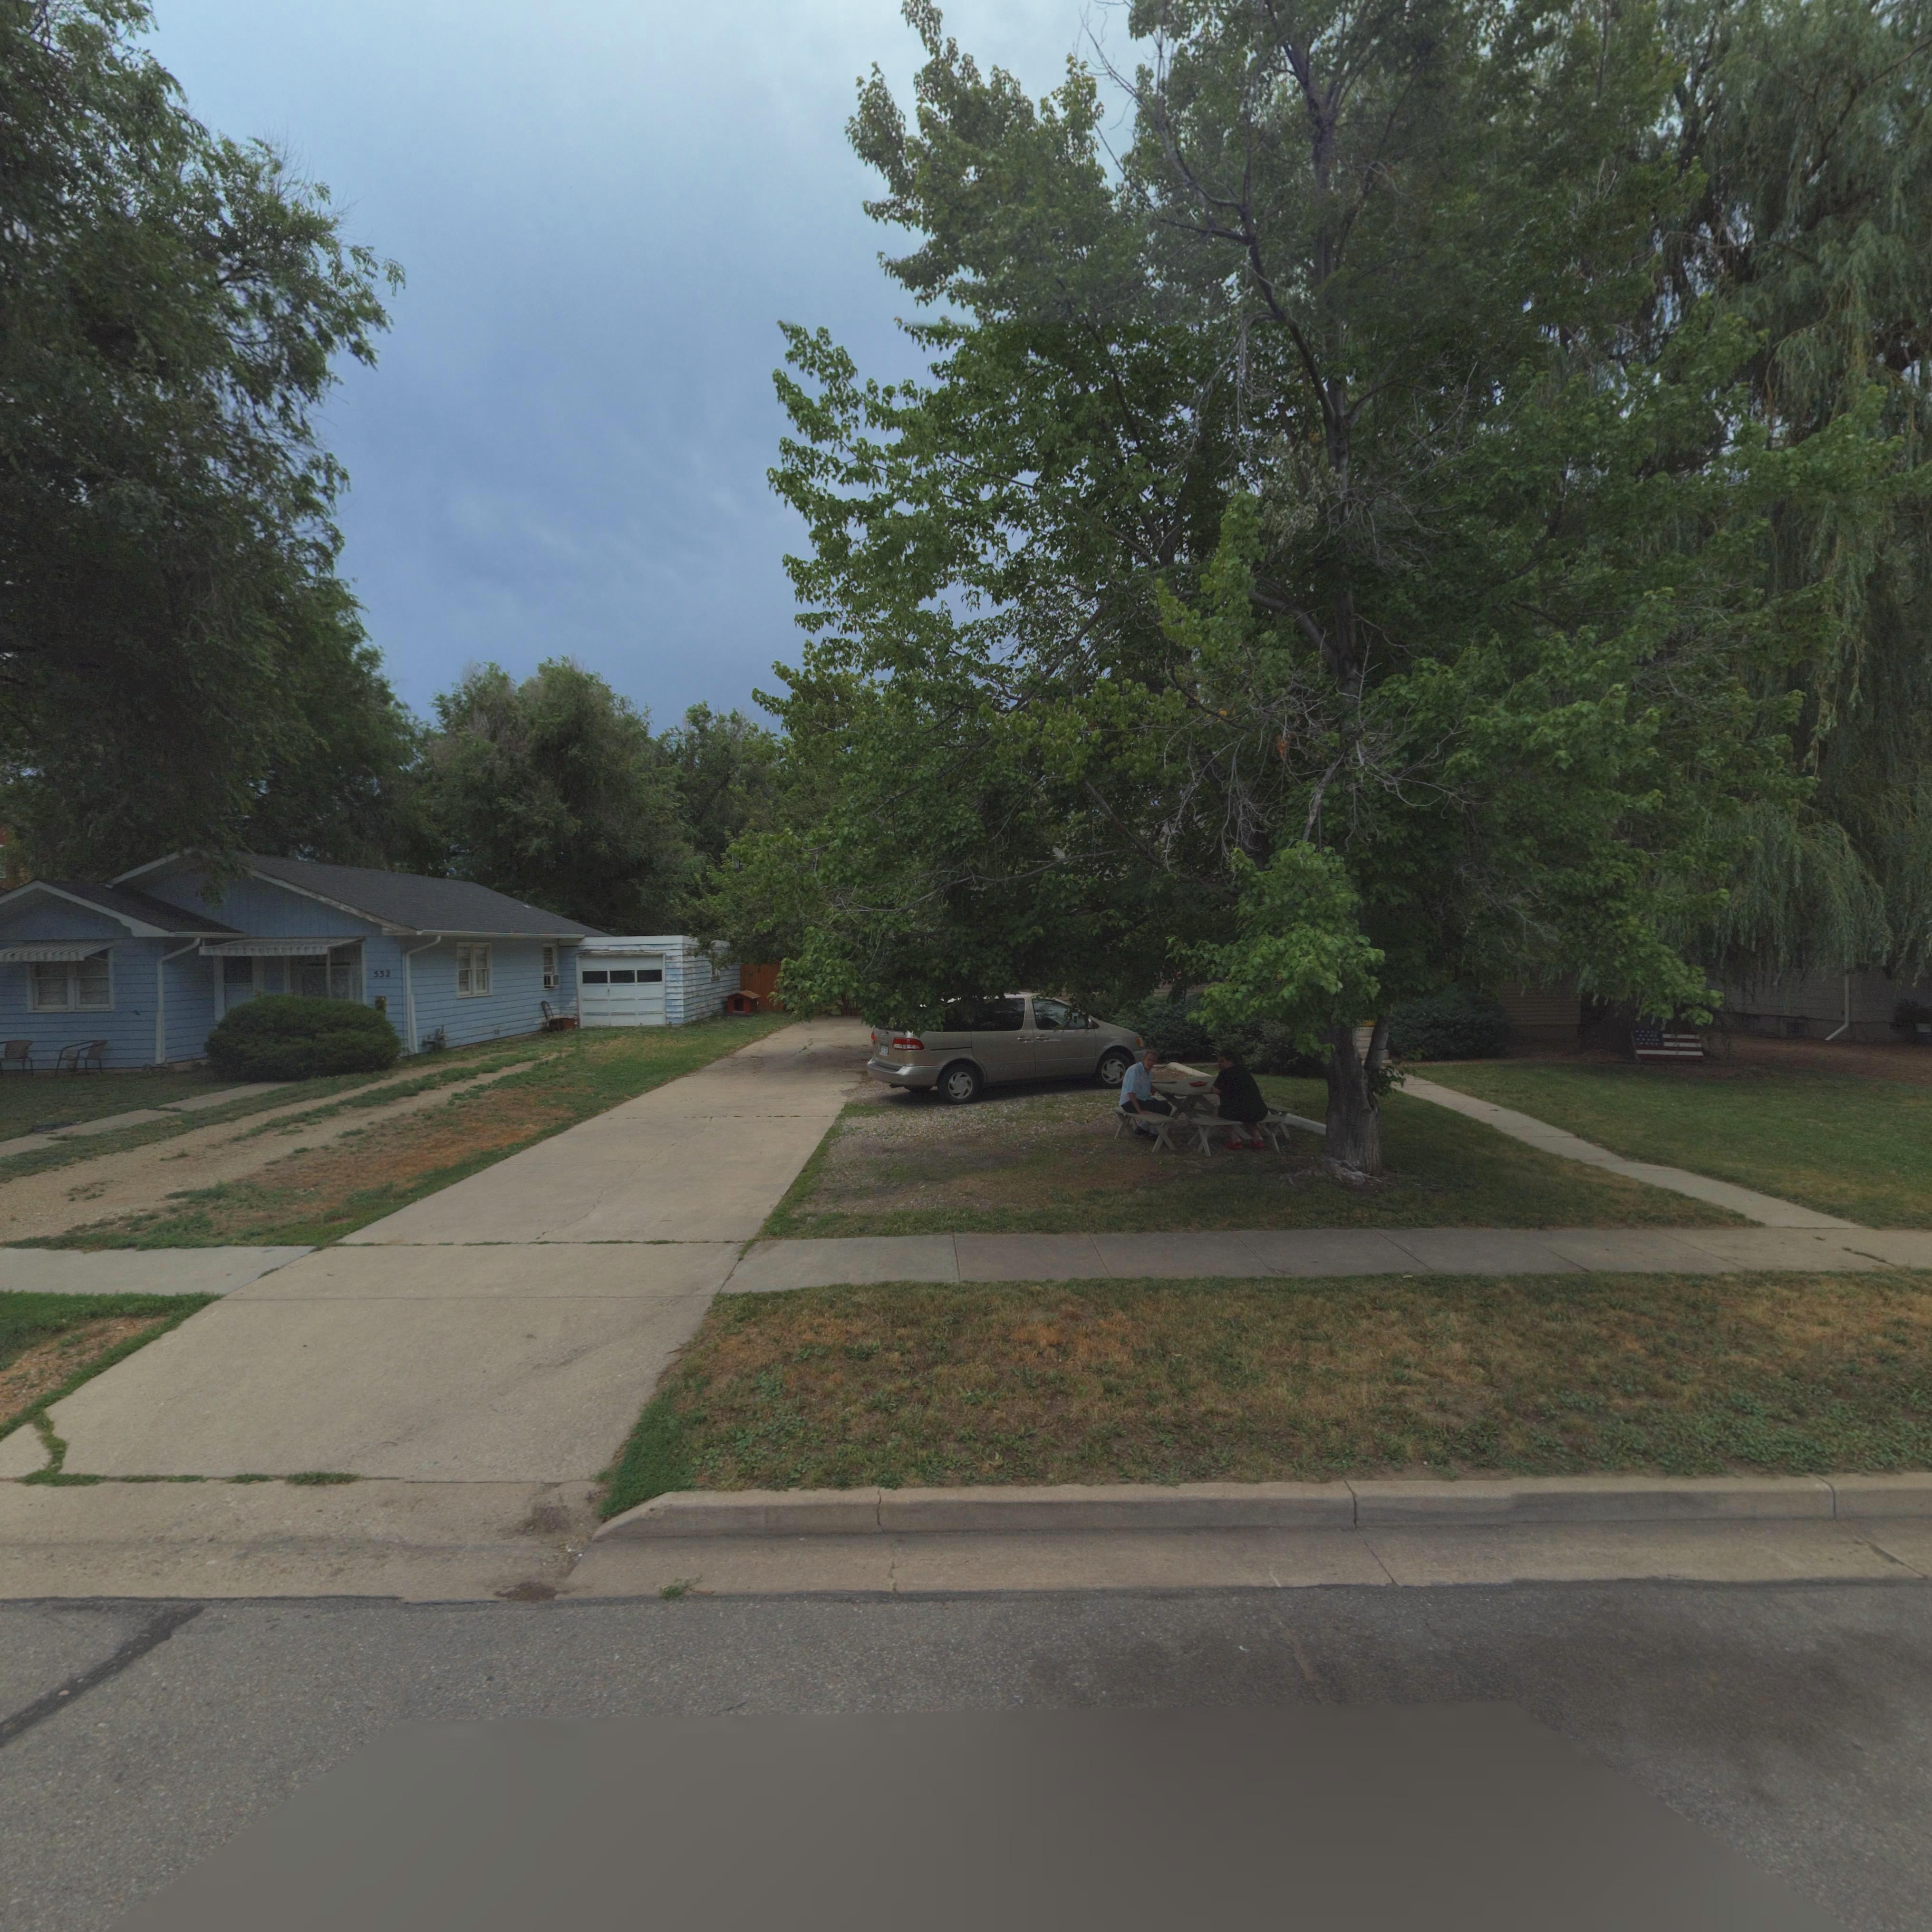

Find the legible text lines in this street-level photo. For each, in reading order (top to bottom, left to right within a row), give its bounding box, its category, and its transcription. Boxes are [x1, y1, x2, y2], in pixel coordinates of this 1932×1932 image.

[374, 968, 390, 978] StreetNumber: 532